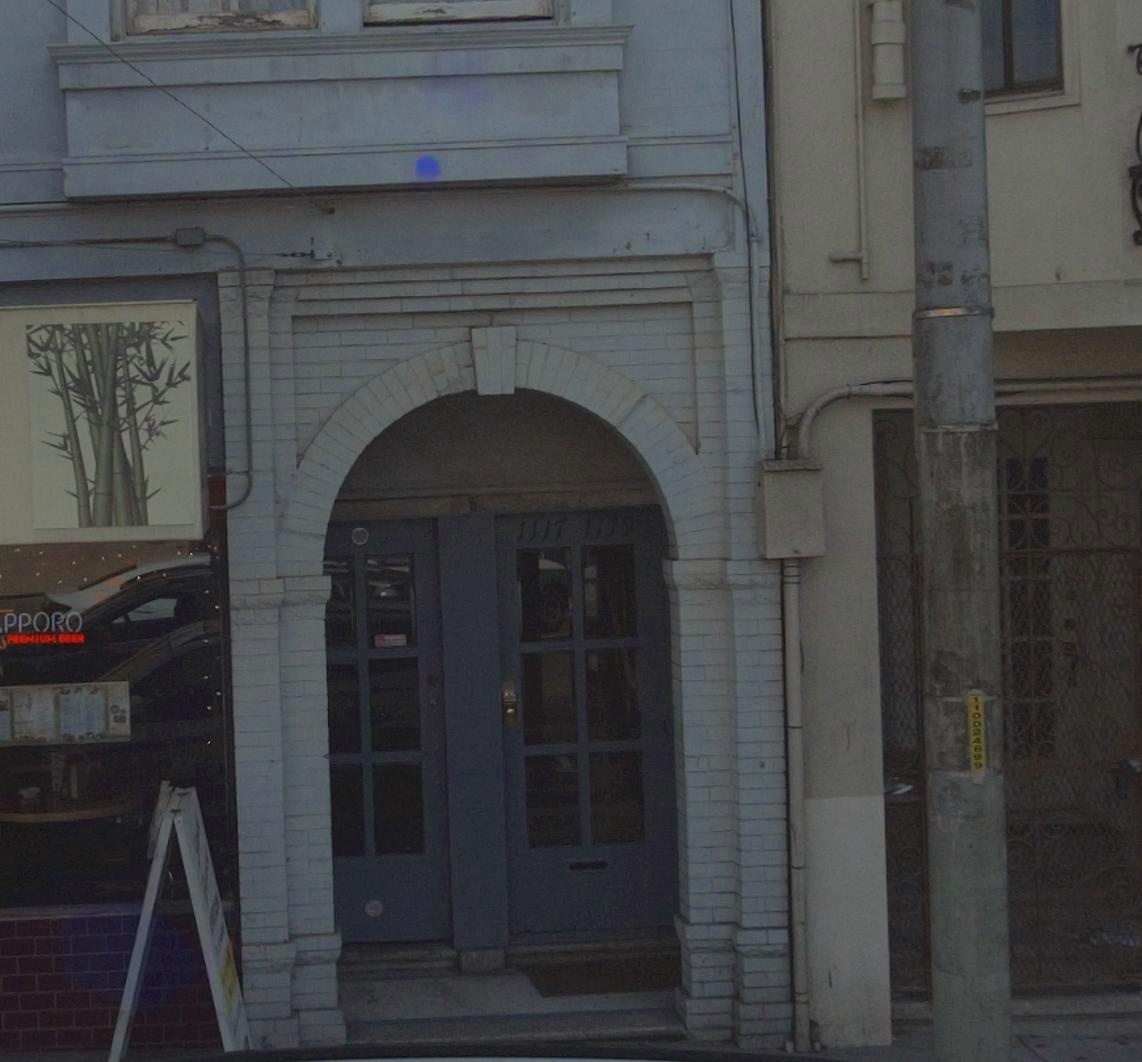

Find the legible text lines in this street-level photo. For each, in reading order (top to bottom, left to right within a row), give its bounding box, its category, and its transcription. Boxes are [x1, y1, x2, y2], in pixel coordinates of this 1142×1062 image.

[514, 516, 570, 543] StreetNumber: 1117
[580, 514, 637, 540] StreetNumber: 1119
[2, 611, 83, 634] None: PPORO
[6, 633, 85, 644] None: PREMIUM BEER
[971, 695, 984, 771] None: 110024***